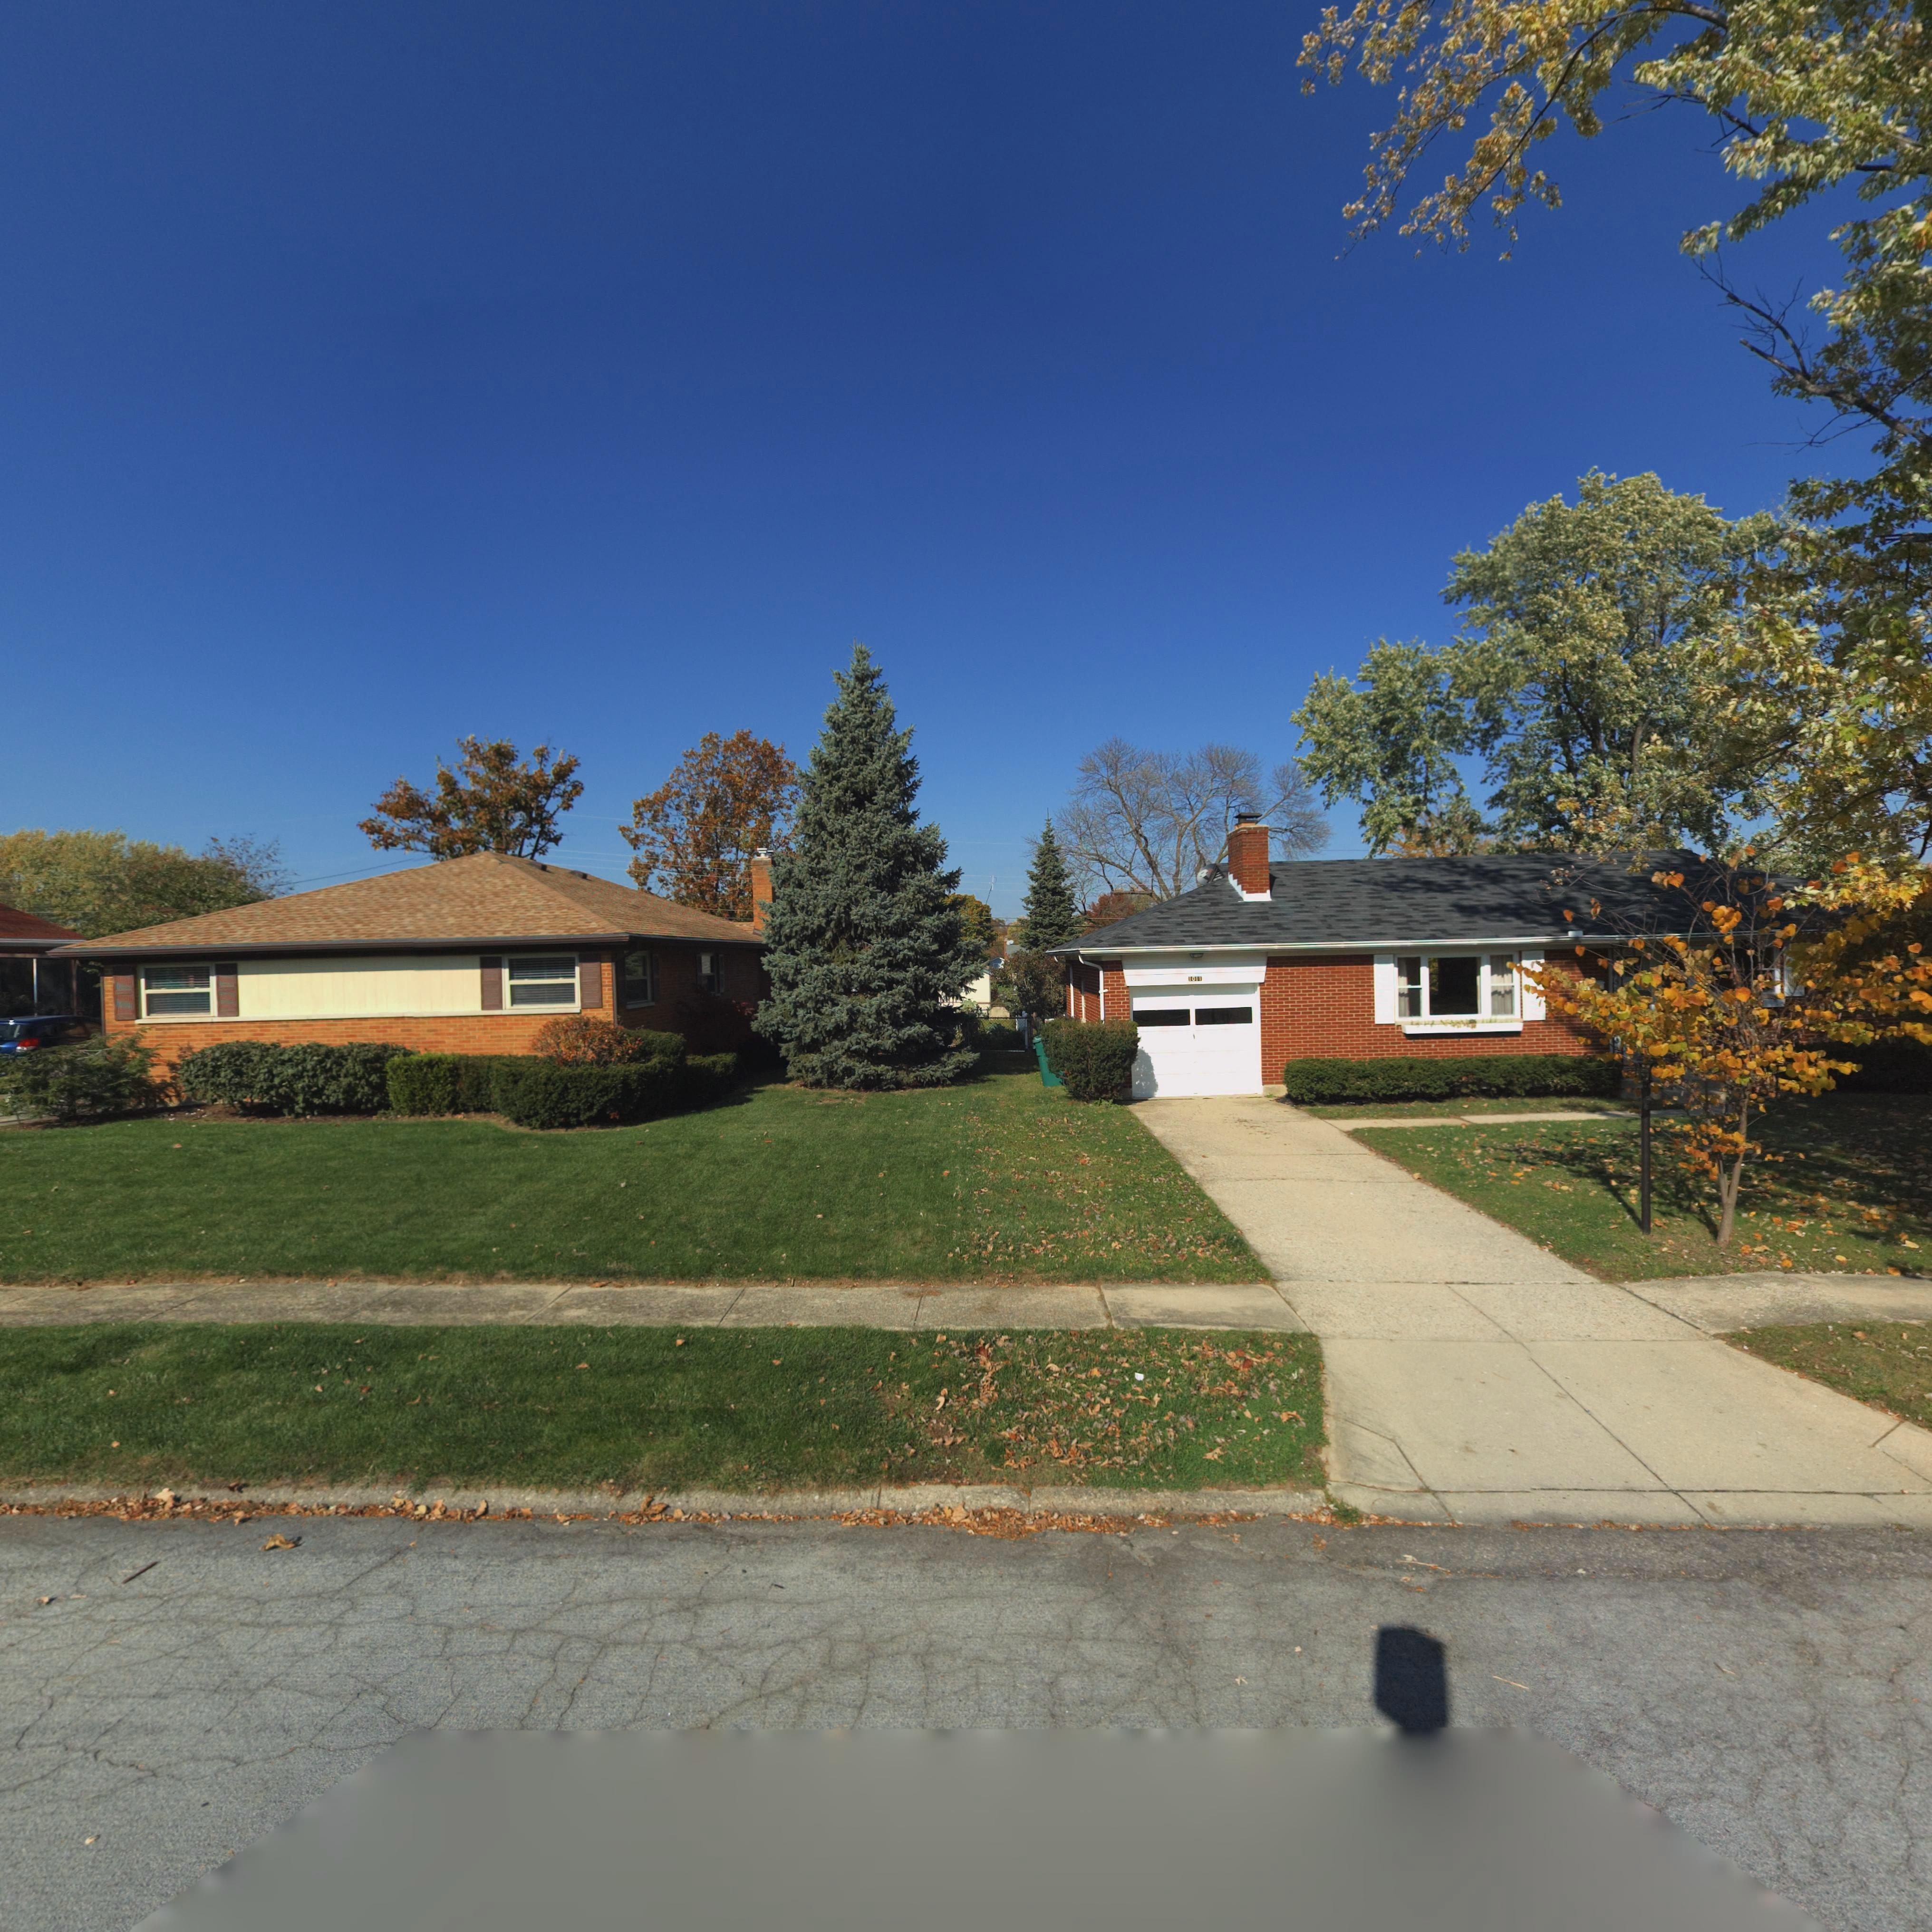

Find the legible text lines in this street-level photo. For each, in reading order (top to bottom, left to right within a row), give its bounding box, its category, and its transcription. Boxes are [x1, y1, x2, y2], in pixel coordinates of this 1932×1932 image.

[1188, 976, 1202, 982] StreetNumber: 1011